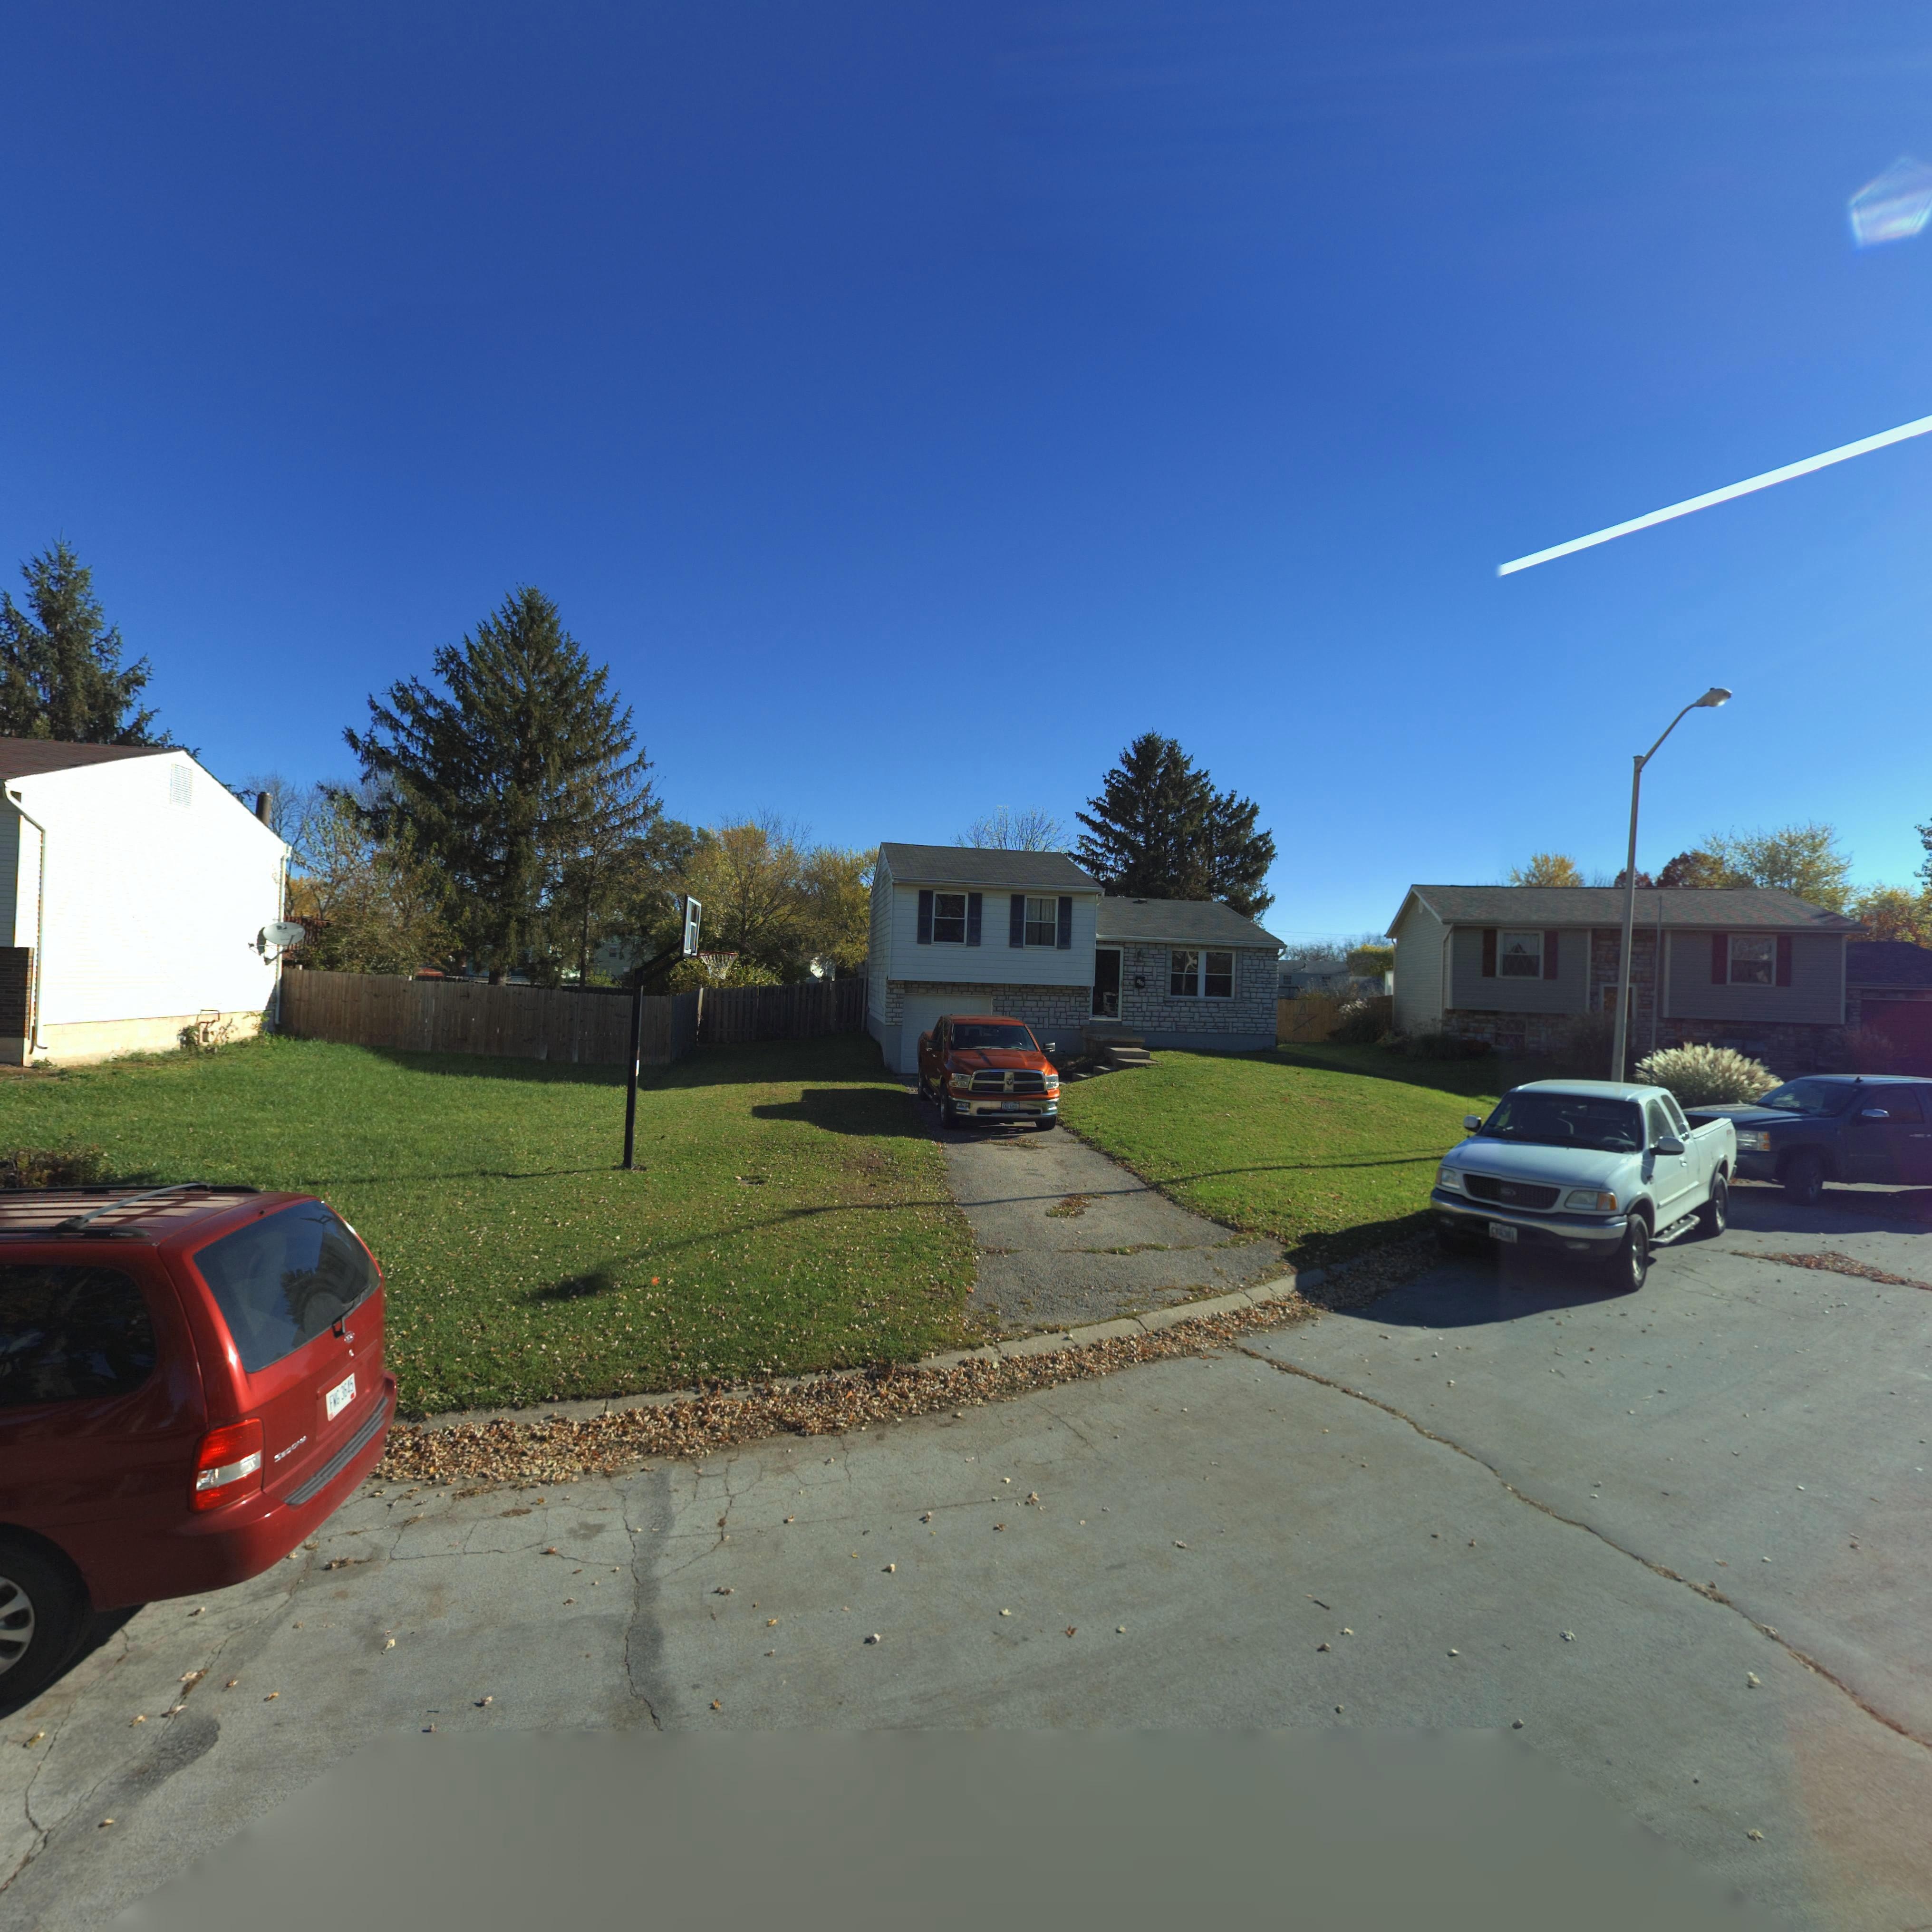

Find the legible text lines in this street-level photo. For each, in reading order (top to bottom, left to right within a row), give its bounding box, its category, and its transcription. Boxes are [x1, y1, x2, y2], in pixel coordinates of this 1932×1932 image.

[1136, 978, 1145, 986] StreetNumber: 1**